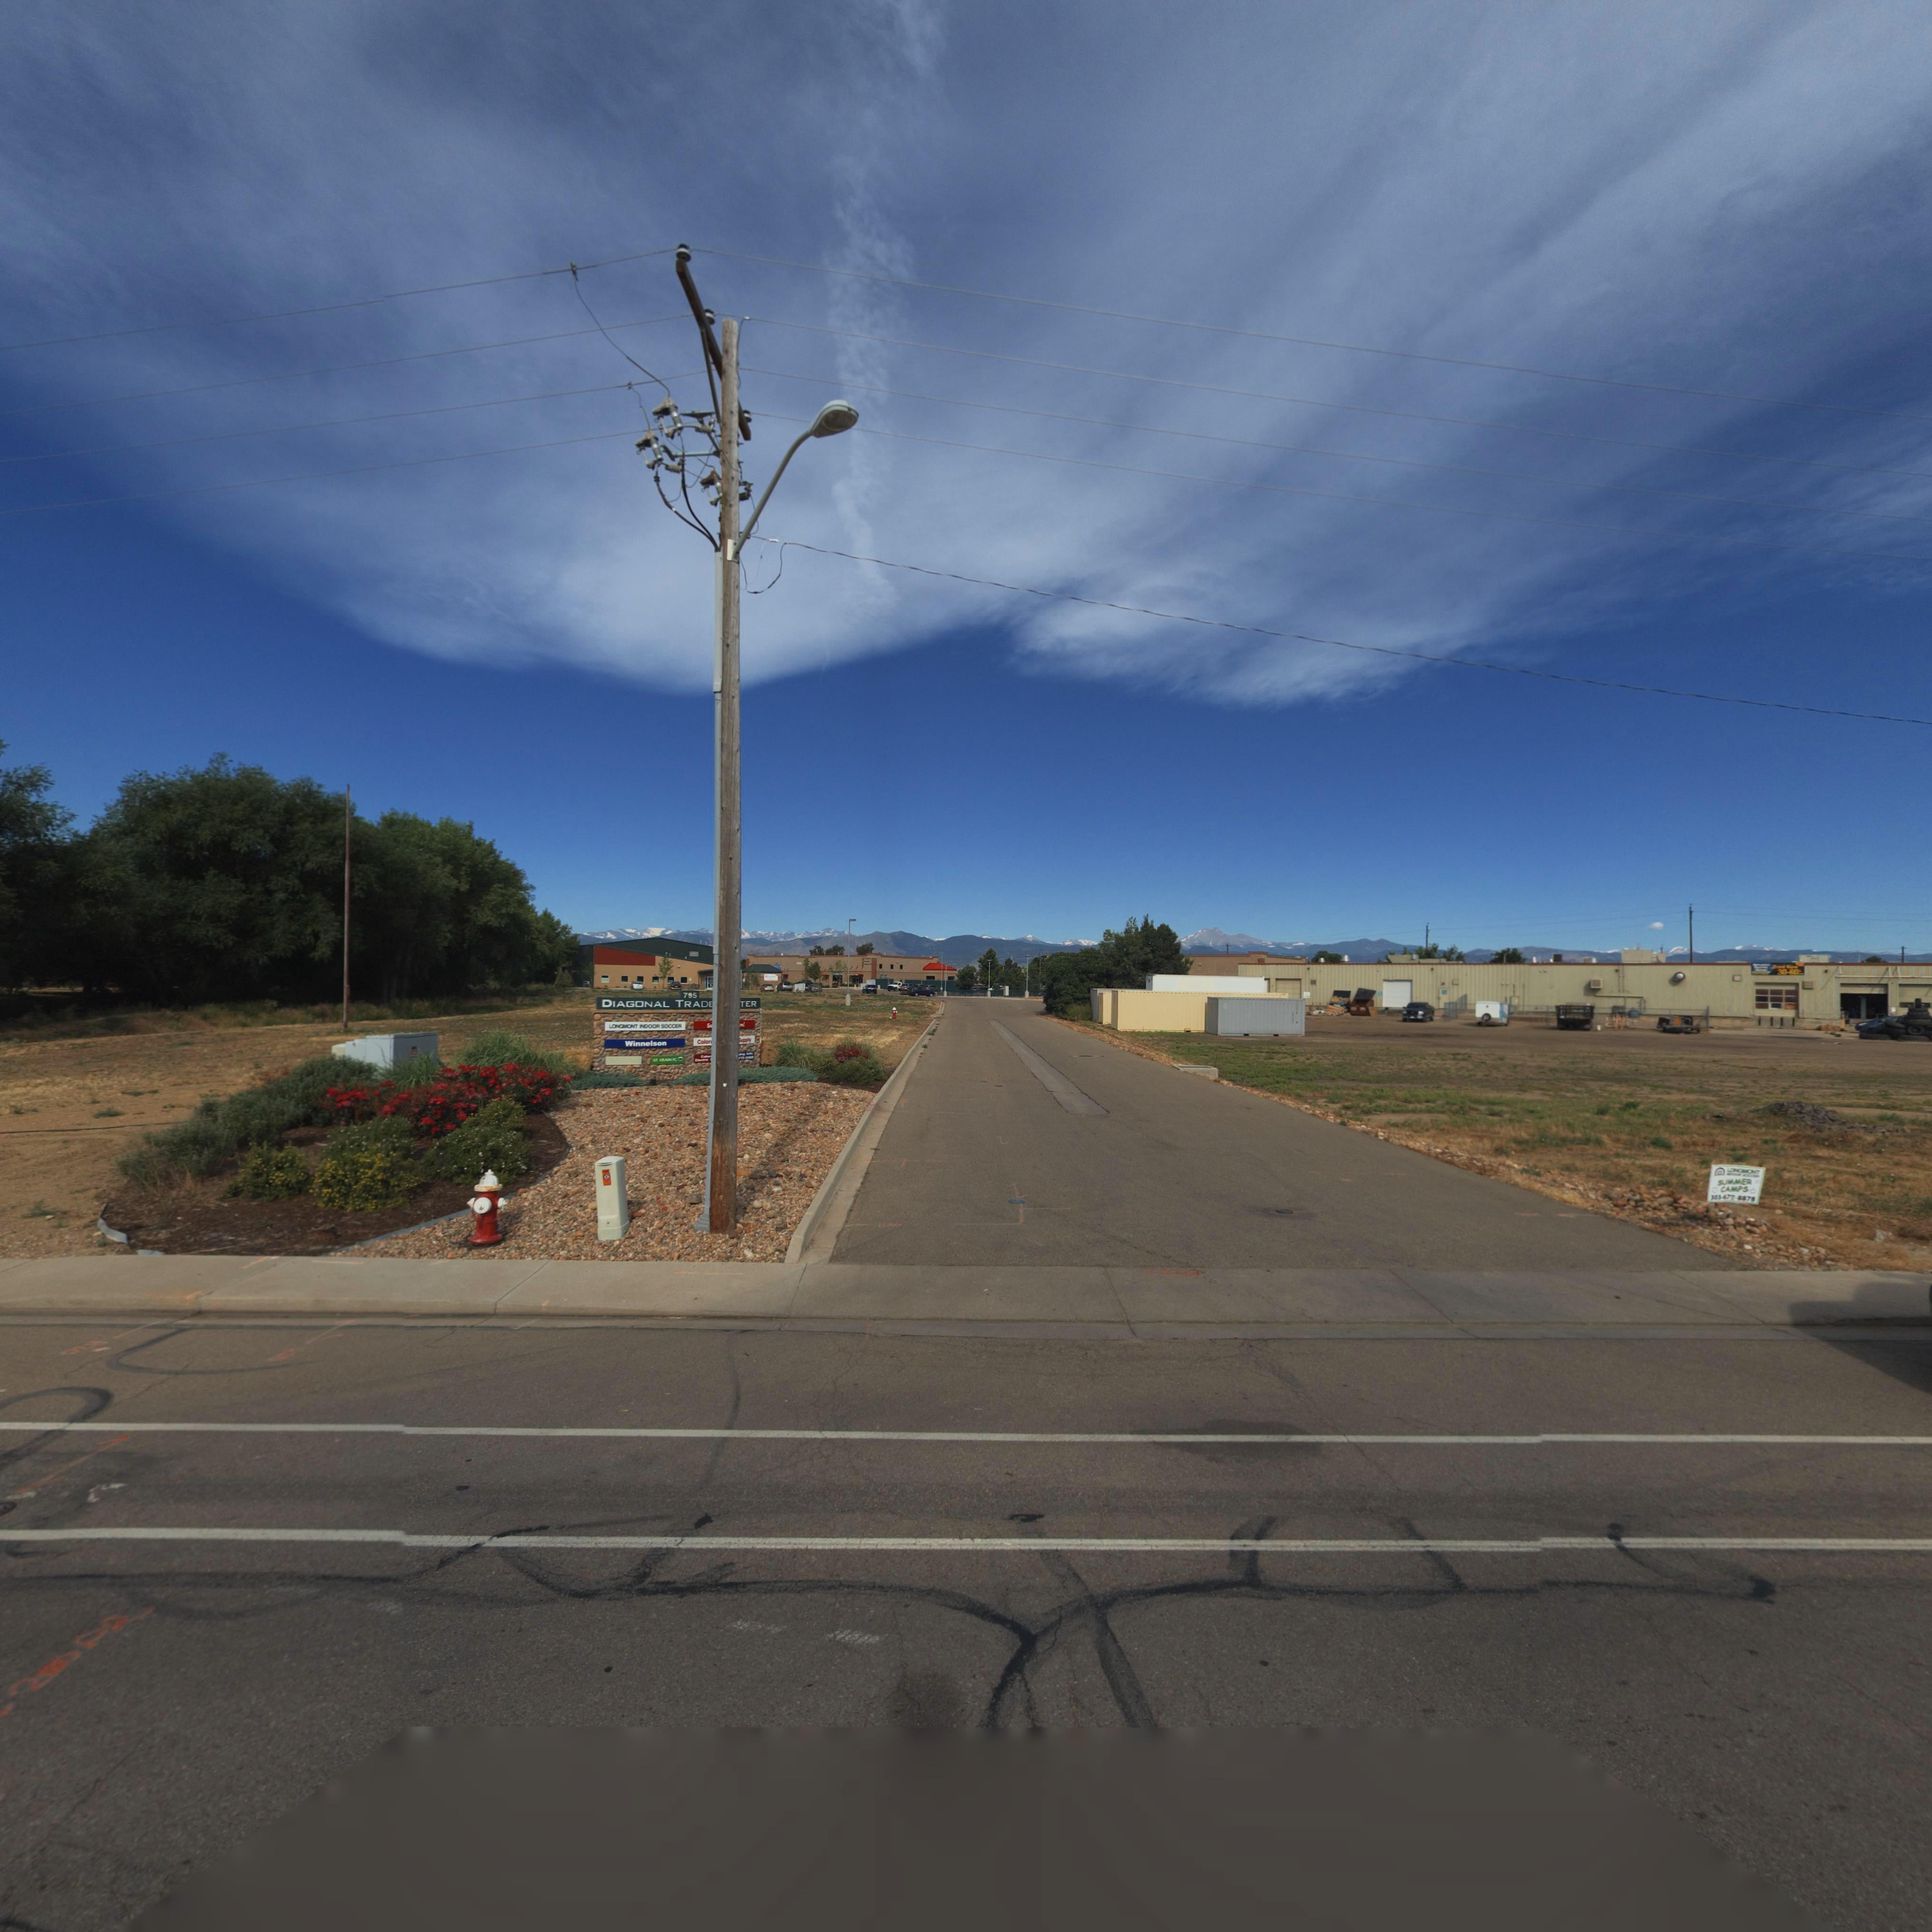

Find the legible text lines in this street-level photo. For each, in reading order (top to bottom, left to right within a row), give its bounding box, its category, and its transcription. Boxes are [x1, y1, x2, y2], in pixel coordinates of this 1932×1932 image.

[683, 993, 697, 998] StreetNumber: 795
[602, 999, 712, 1007] BusinessName: DIAGONAL TRAD*
[740, 1000, 756, 1007] BusinessName: TER
[608, 1024, 682, 1028] BusinessName: LONGMONT INDOOR SOCCER
[706, 1023, 710, 1028] BusinessName: S
[625, 1040, 667, 1046] BusinessName: Winnelson
[697, 1038, 711, 1044] BusinessName: Color
[739, 1037, 752, 1043] BusinessName: *upply